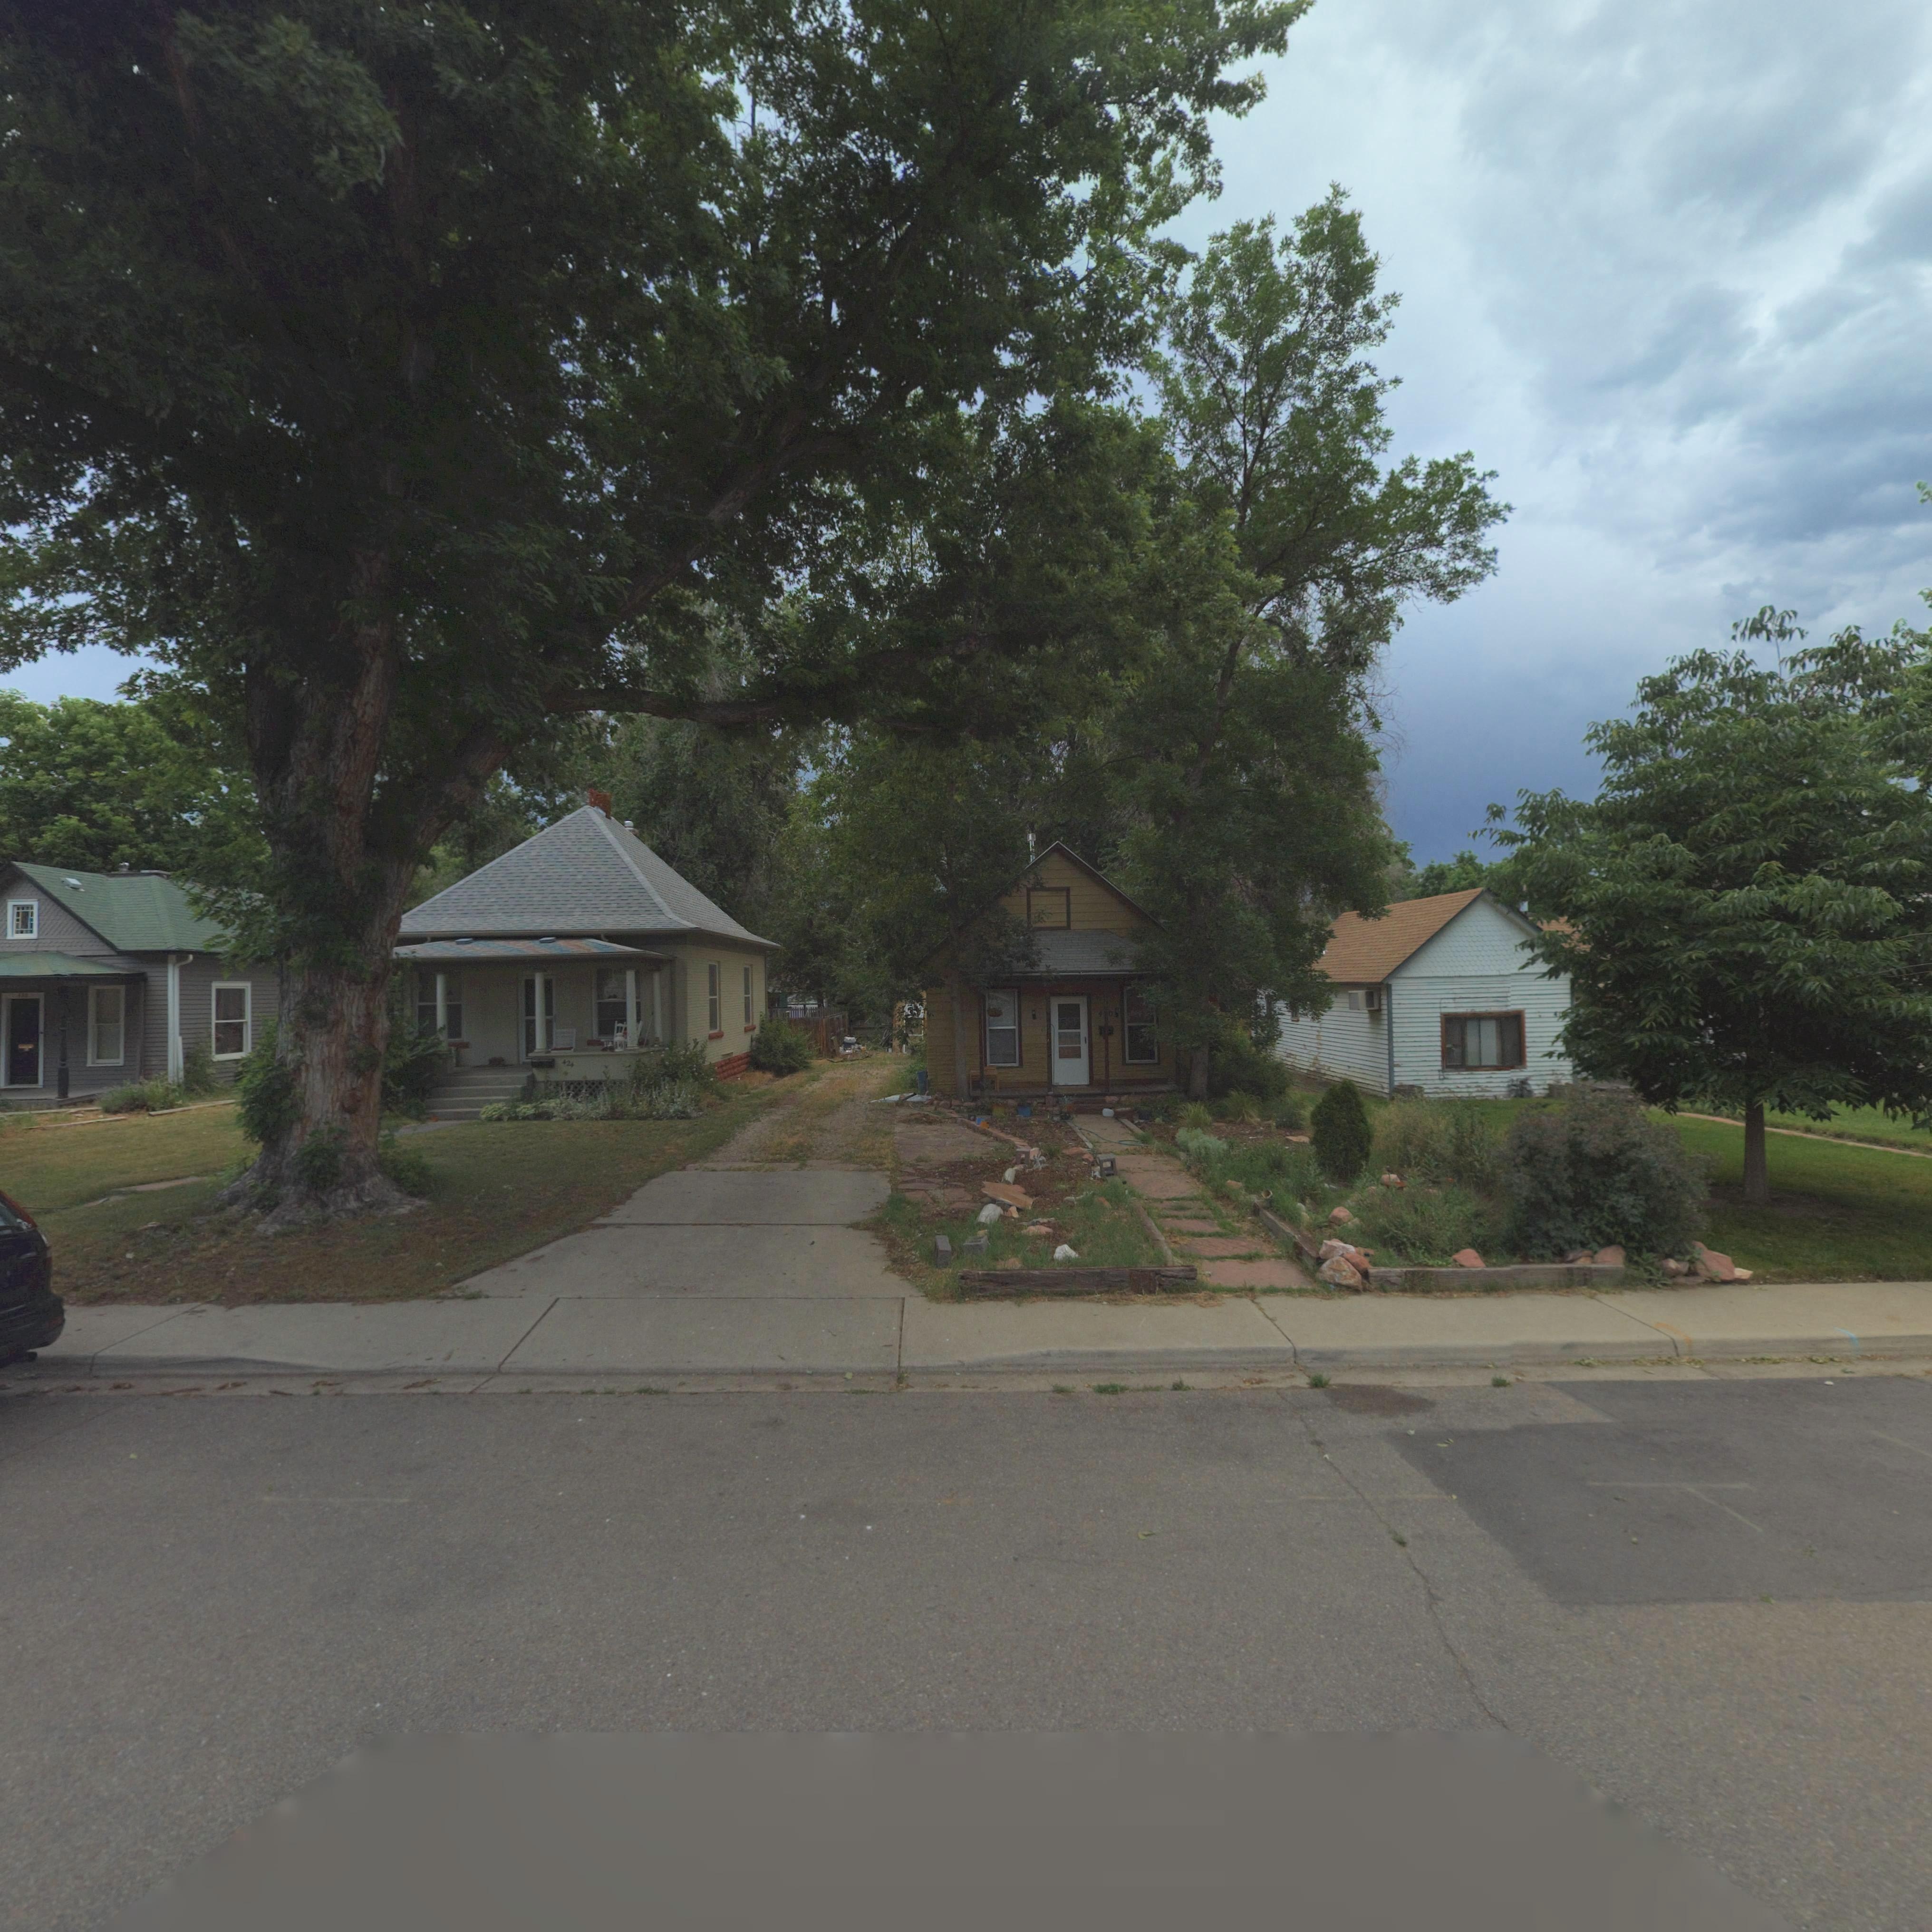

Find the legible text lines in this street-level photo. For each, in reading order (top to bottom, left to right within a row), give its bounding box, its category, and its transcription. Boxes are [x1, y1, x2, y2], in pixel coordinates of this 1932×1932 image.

[17, 992, 29, 998] StreetNumber: 420
[1097, 1009, 1113, 1018] StreetNumber: 4*8
[561, 1058, 574, 1068] StreetNumber: 424